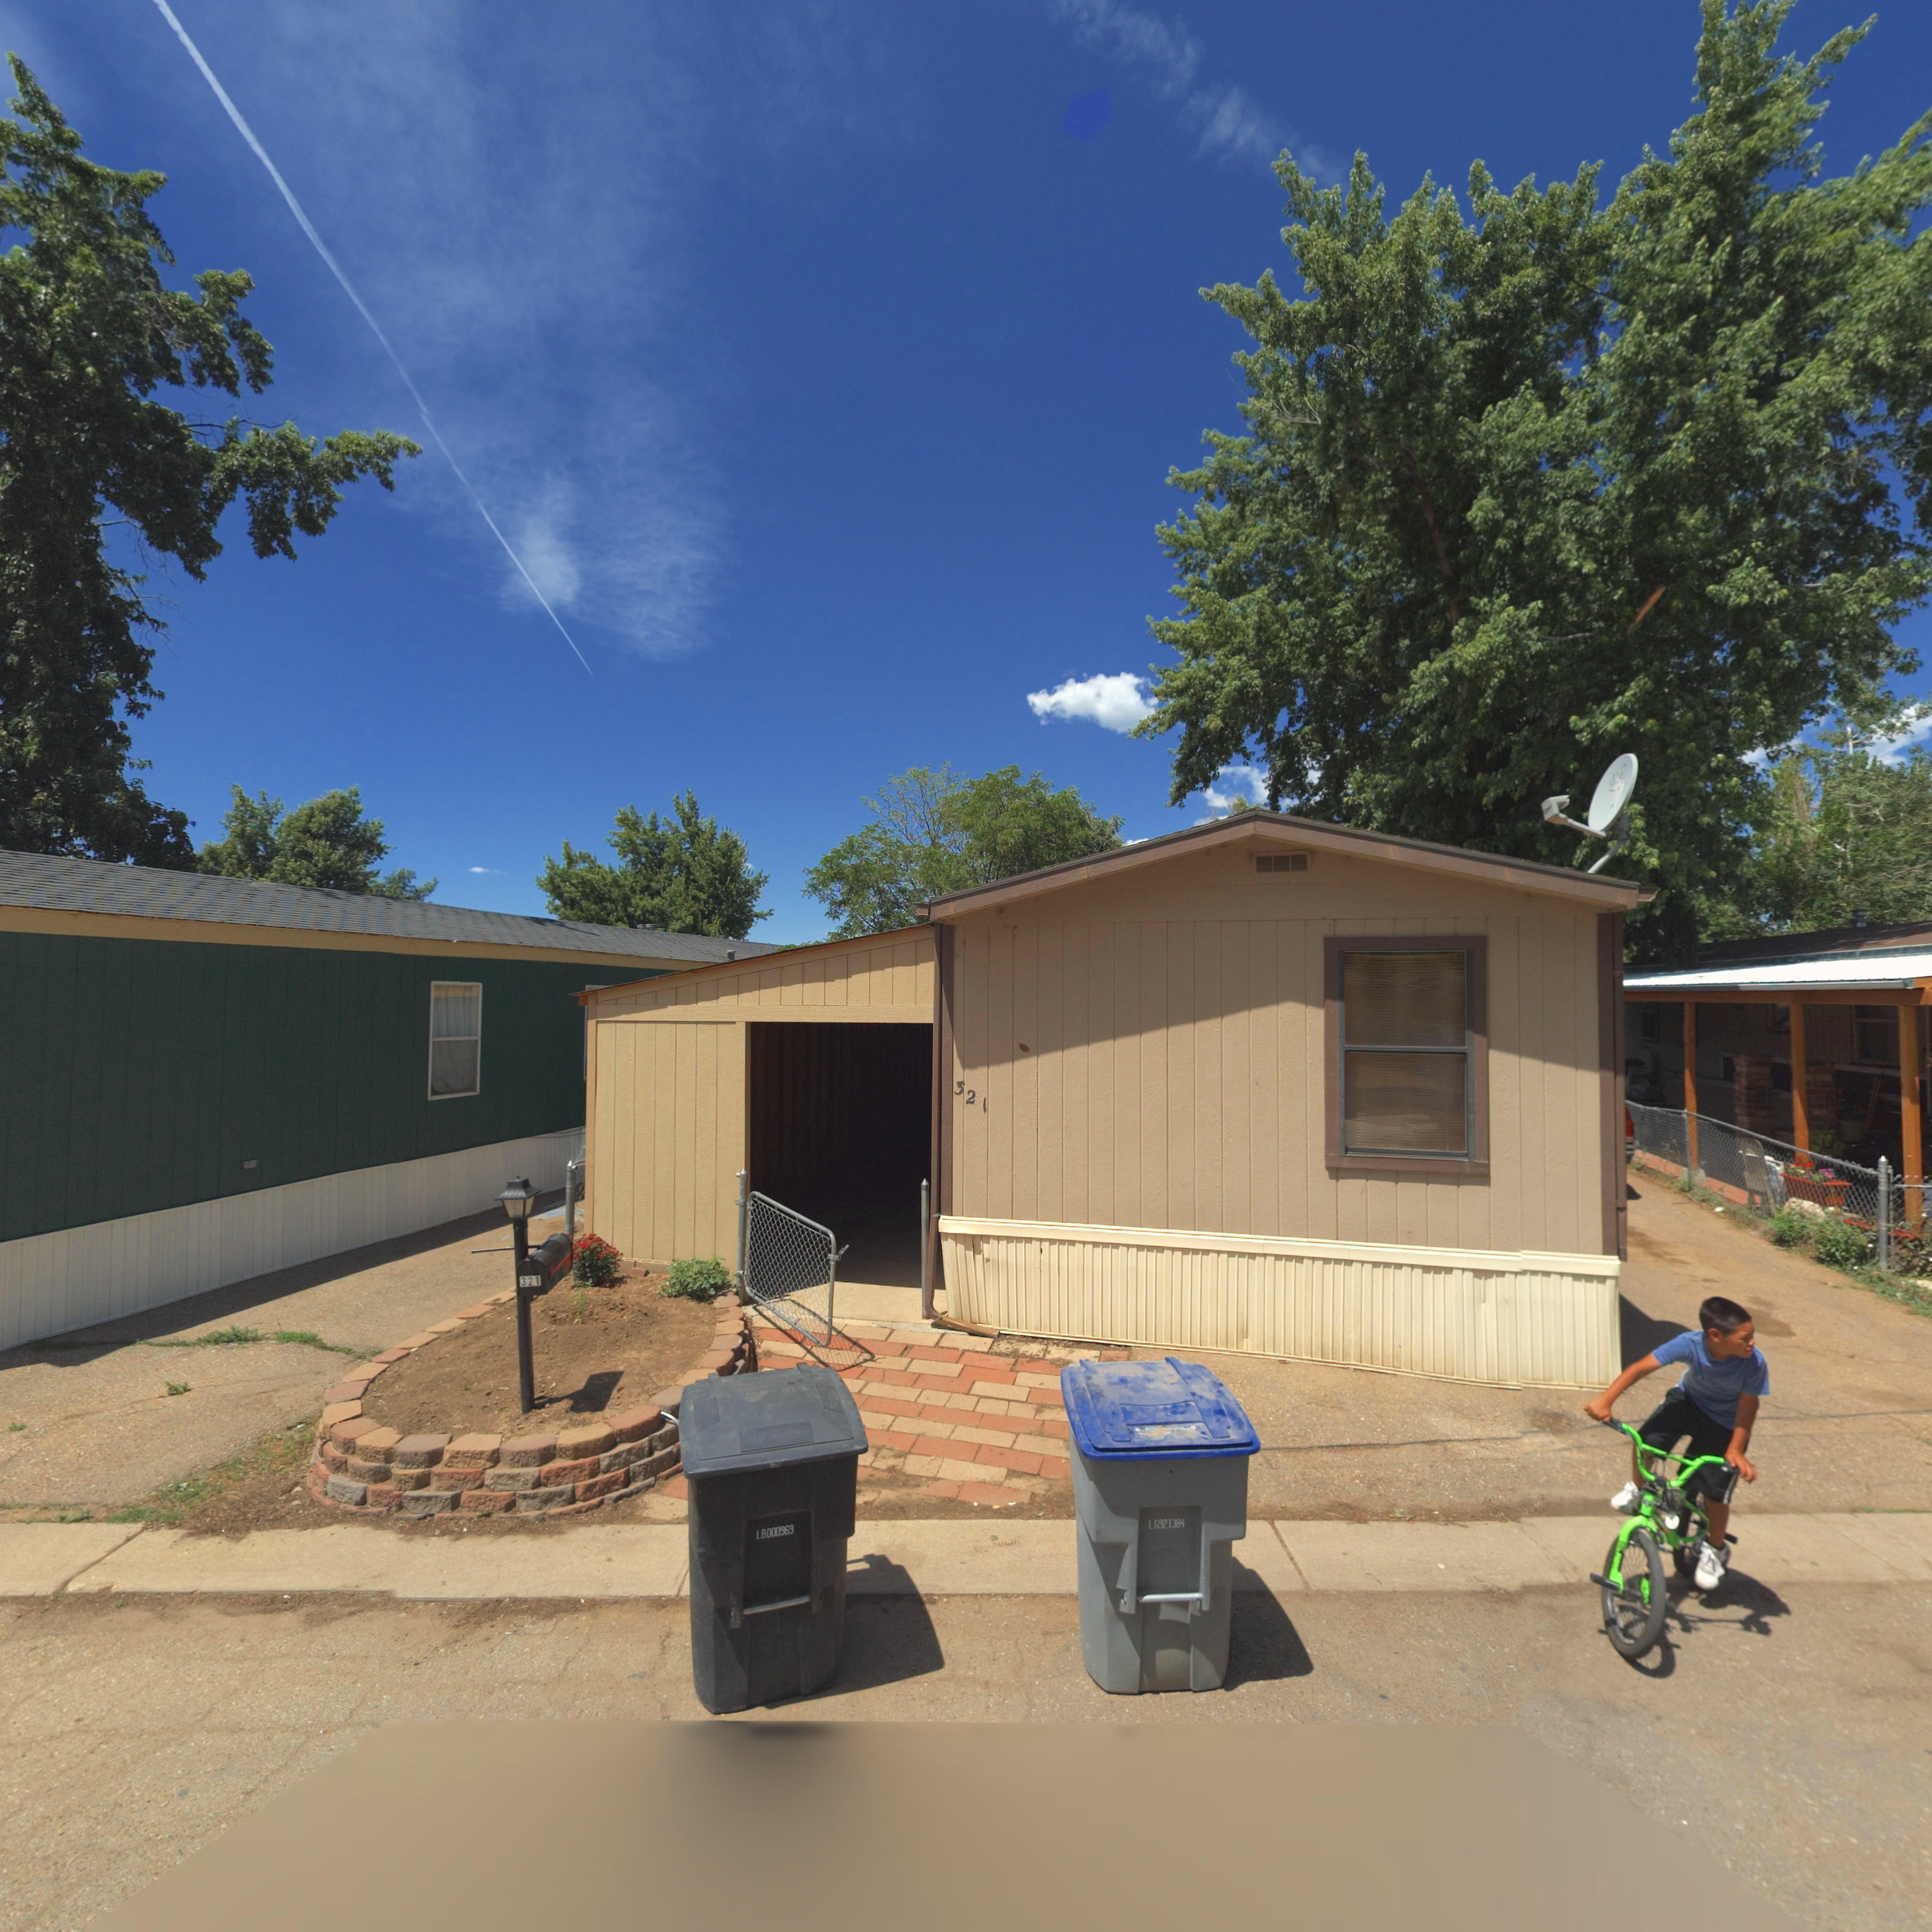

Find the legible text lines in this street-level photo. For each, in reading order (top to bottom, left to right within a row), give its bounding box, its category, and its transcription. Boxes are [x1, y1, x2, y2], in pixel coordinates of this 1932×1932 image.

[953, 1080, 987, 1113] StreetNumber: 321
[520, 1276, 539, 1286] StreetNumber: 321